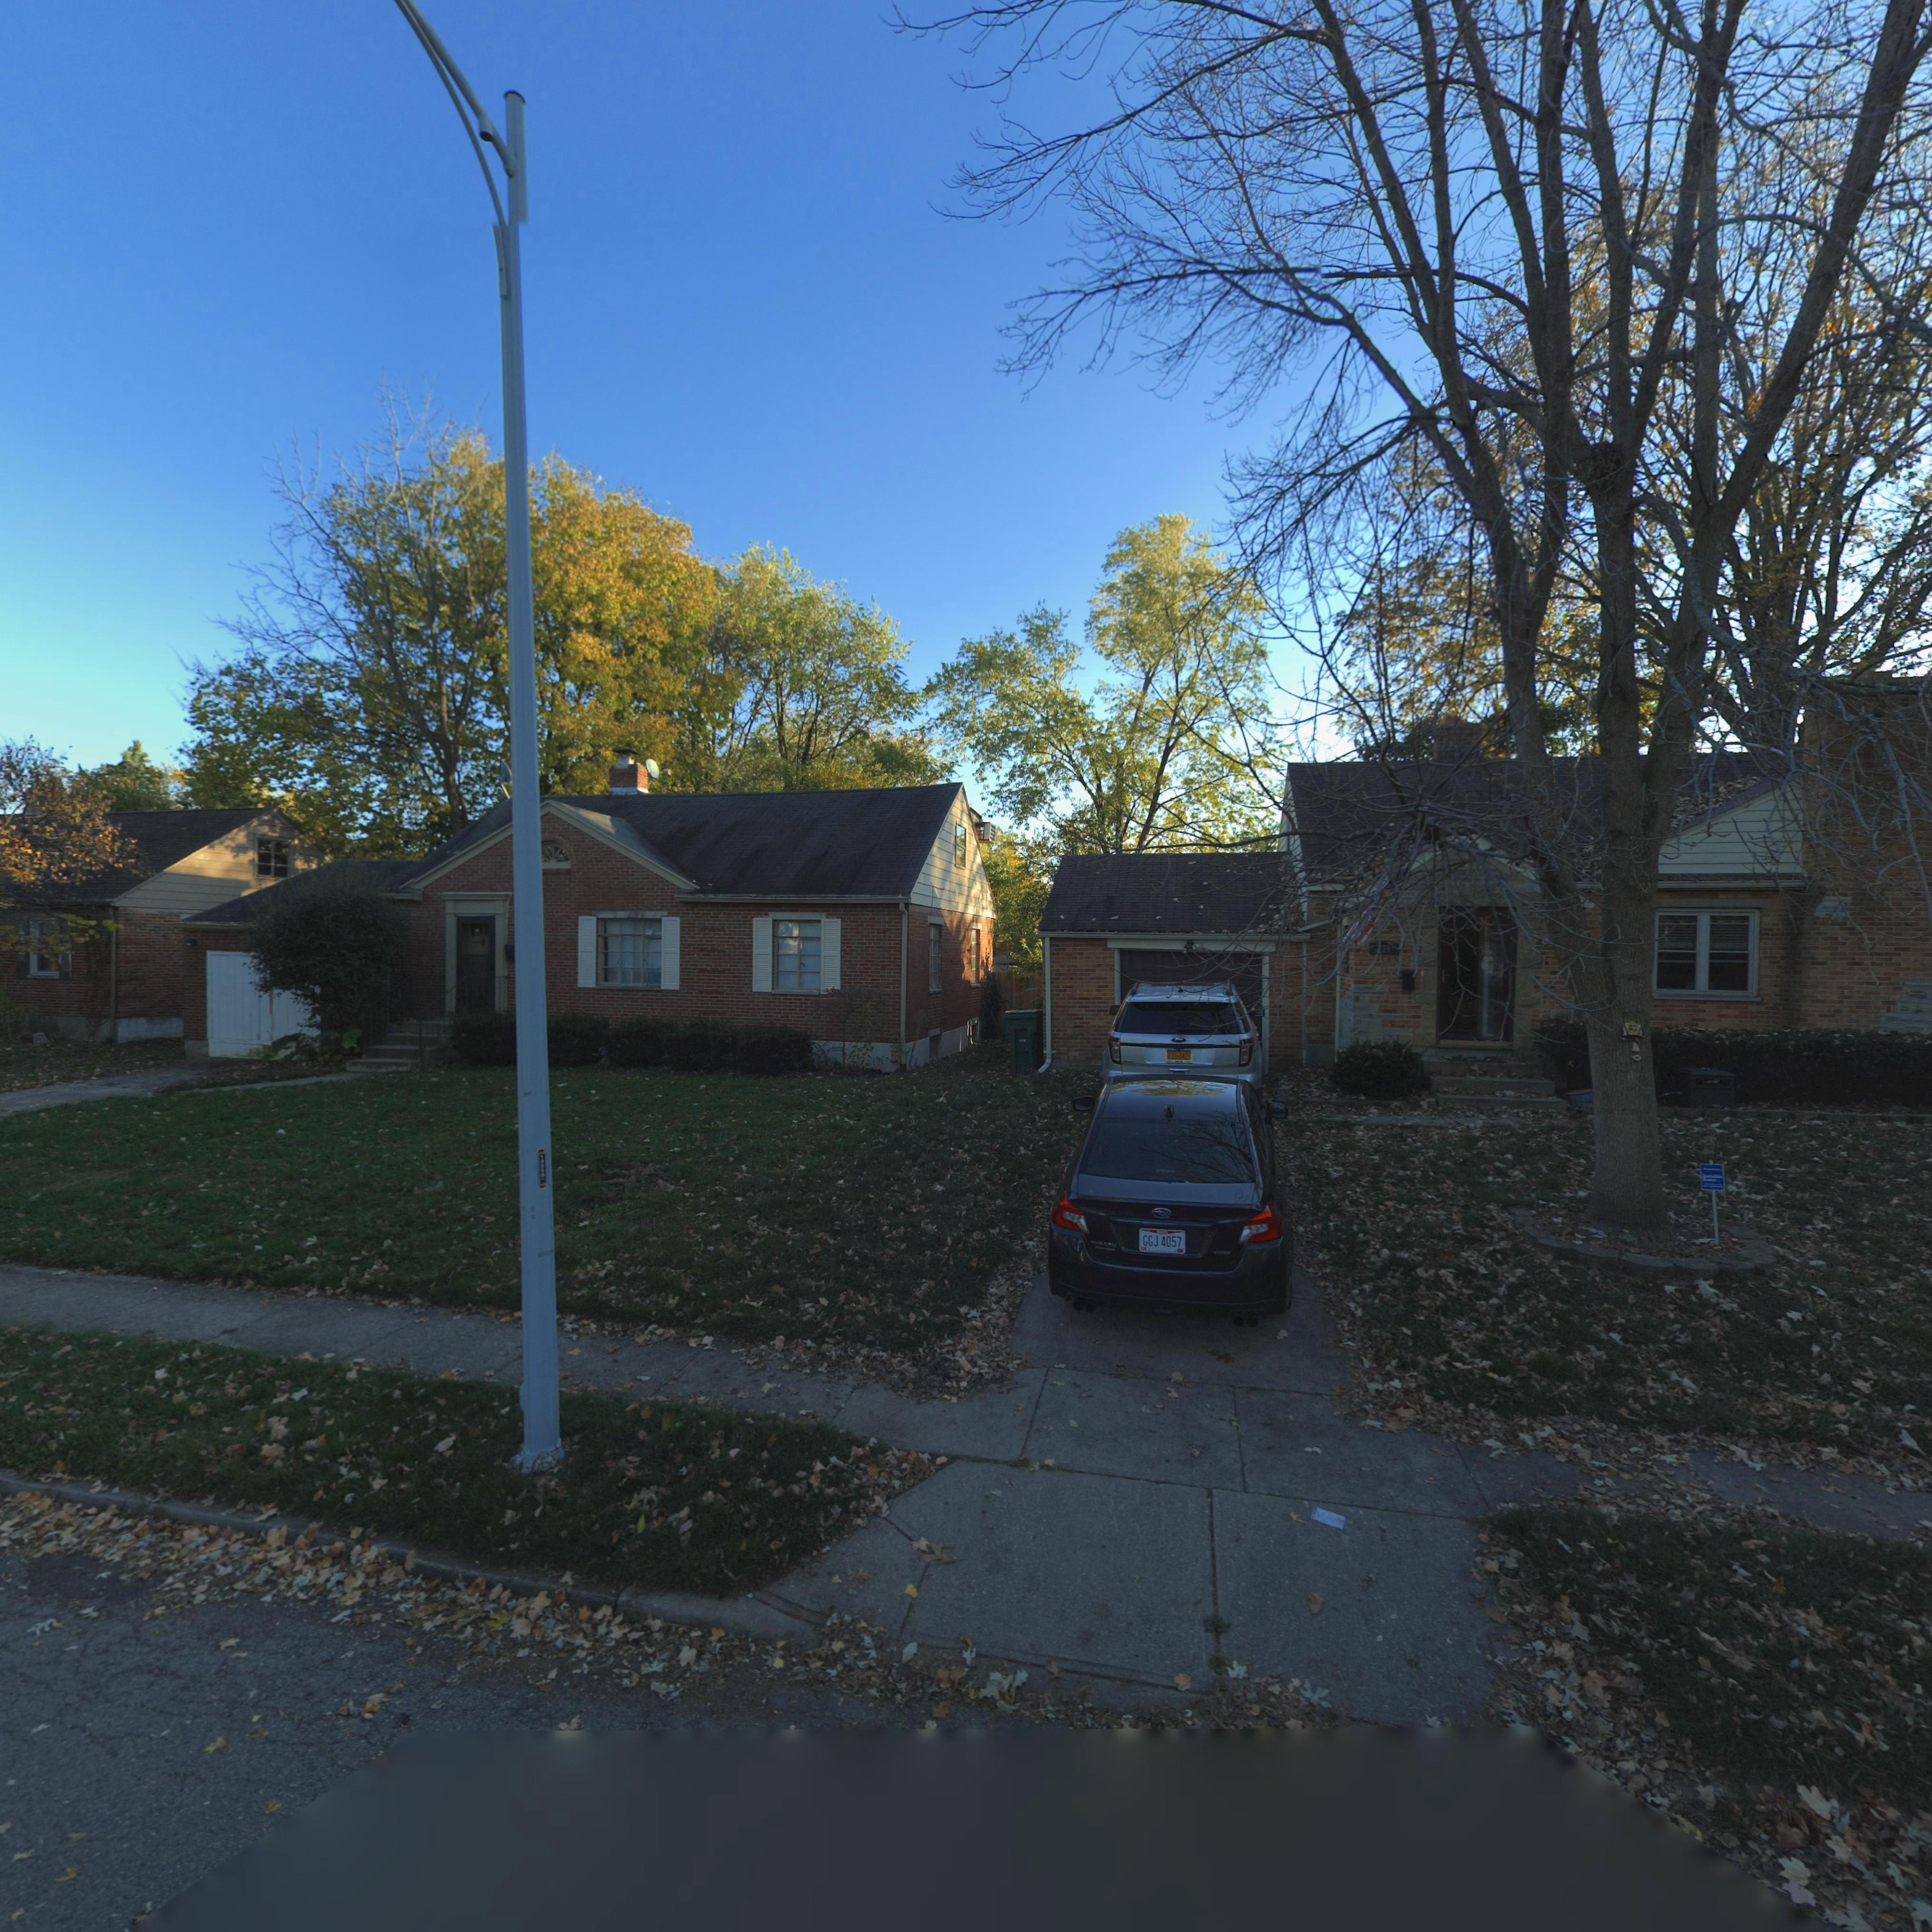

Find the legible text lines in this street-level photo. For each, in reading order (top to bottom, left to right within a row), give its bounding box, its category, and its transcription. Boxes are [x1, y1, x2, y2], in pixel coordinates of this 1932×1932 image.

[1381, 944, 1391, 954] StreetNumber: 24